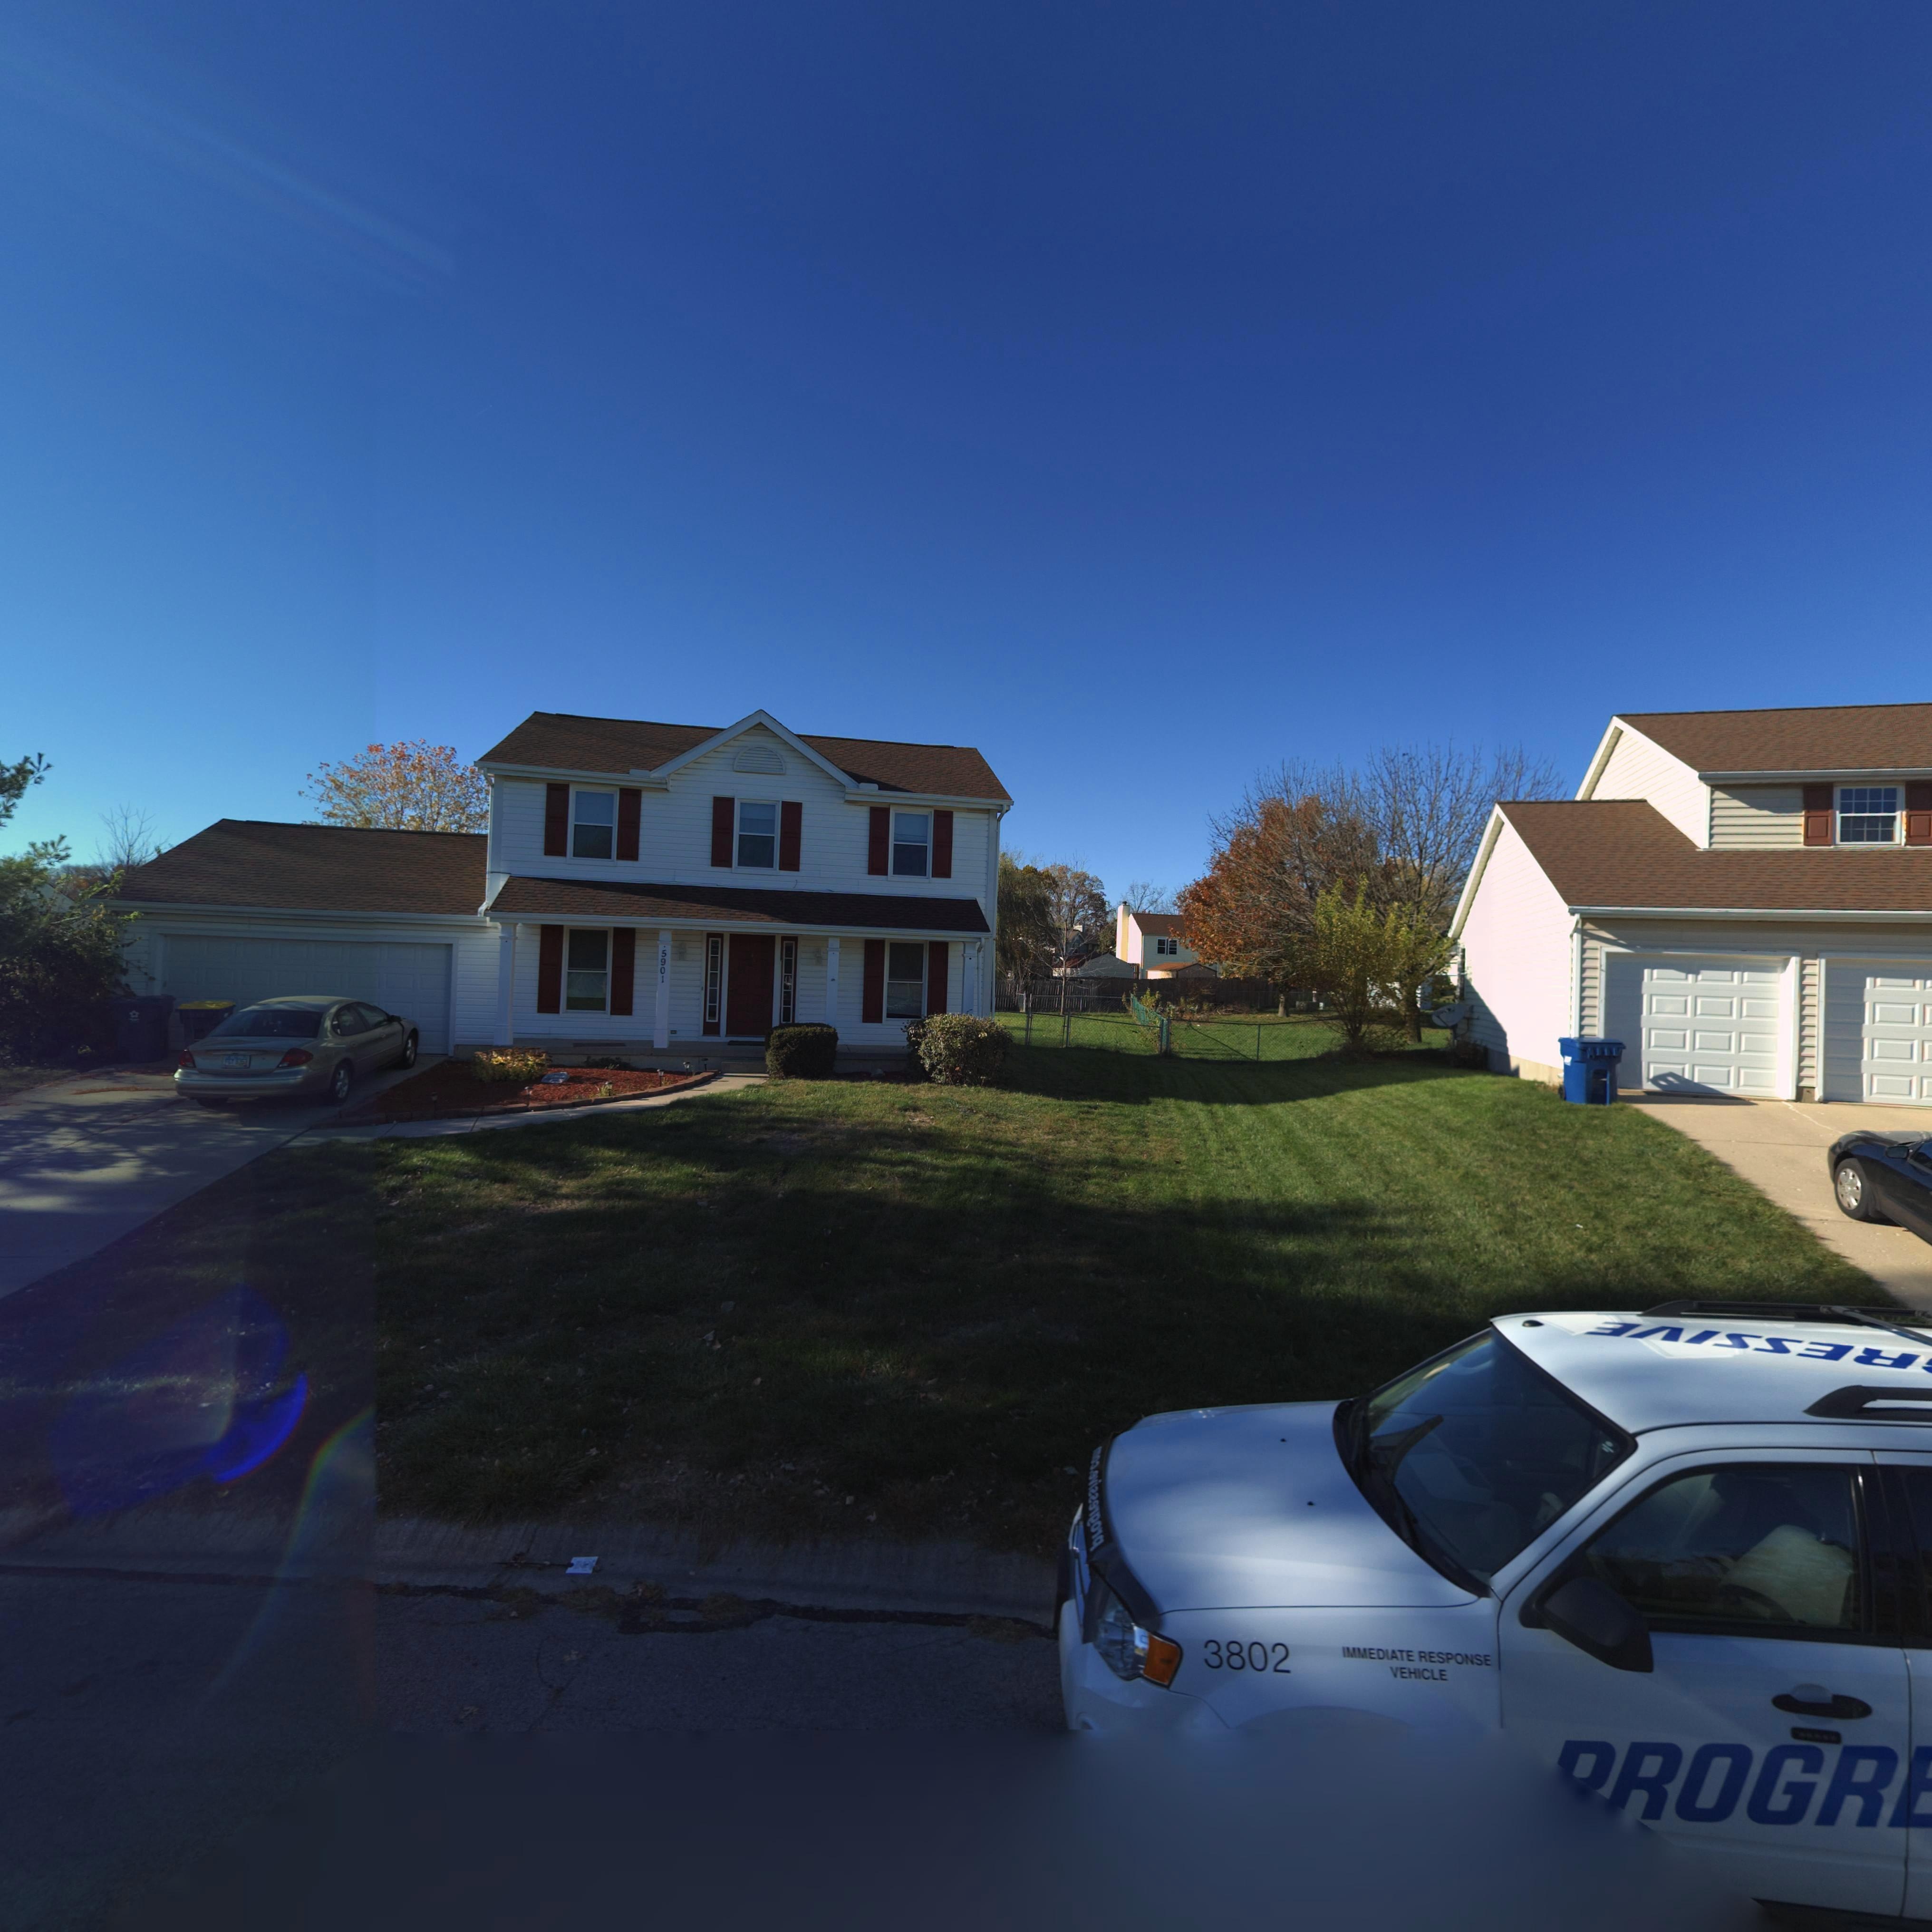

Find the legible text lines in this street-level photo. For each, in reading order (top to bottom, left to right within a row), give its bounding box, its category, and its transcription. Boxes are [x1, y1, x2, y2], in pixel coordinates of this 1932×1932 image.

[659, 948, 667, 985] StreetNumber: 5901